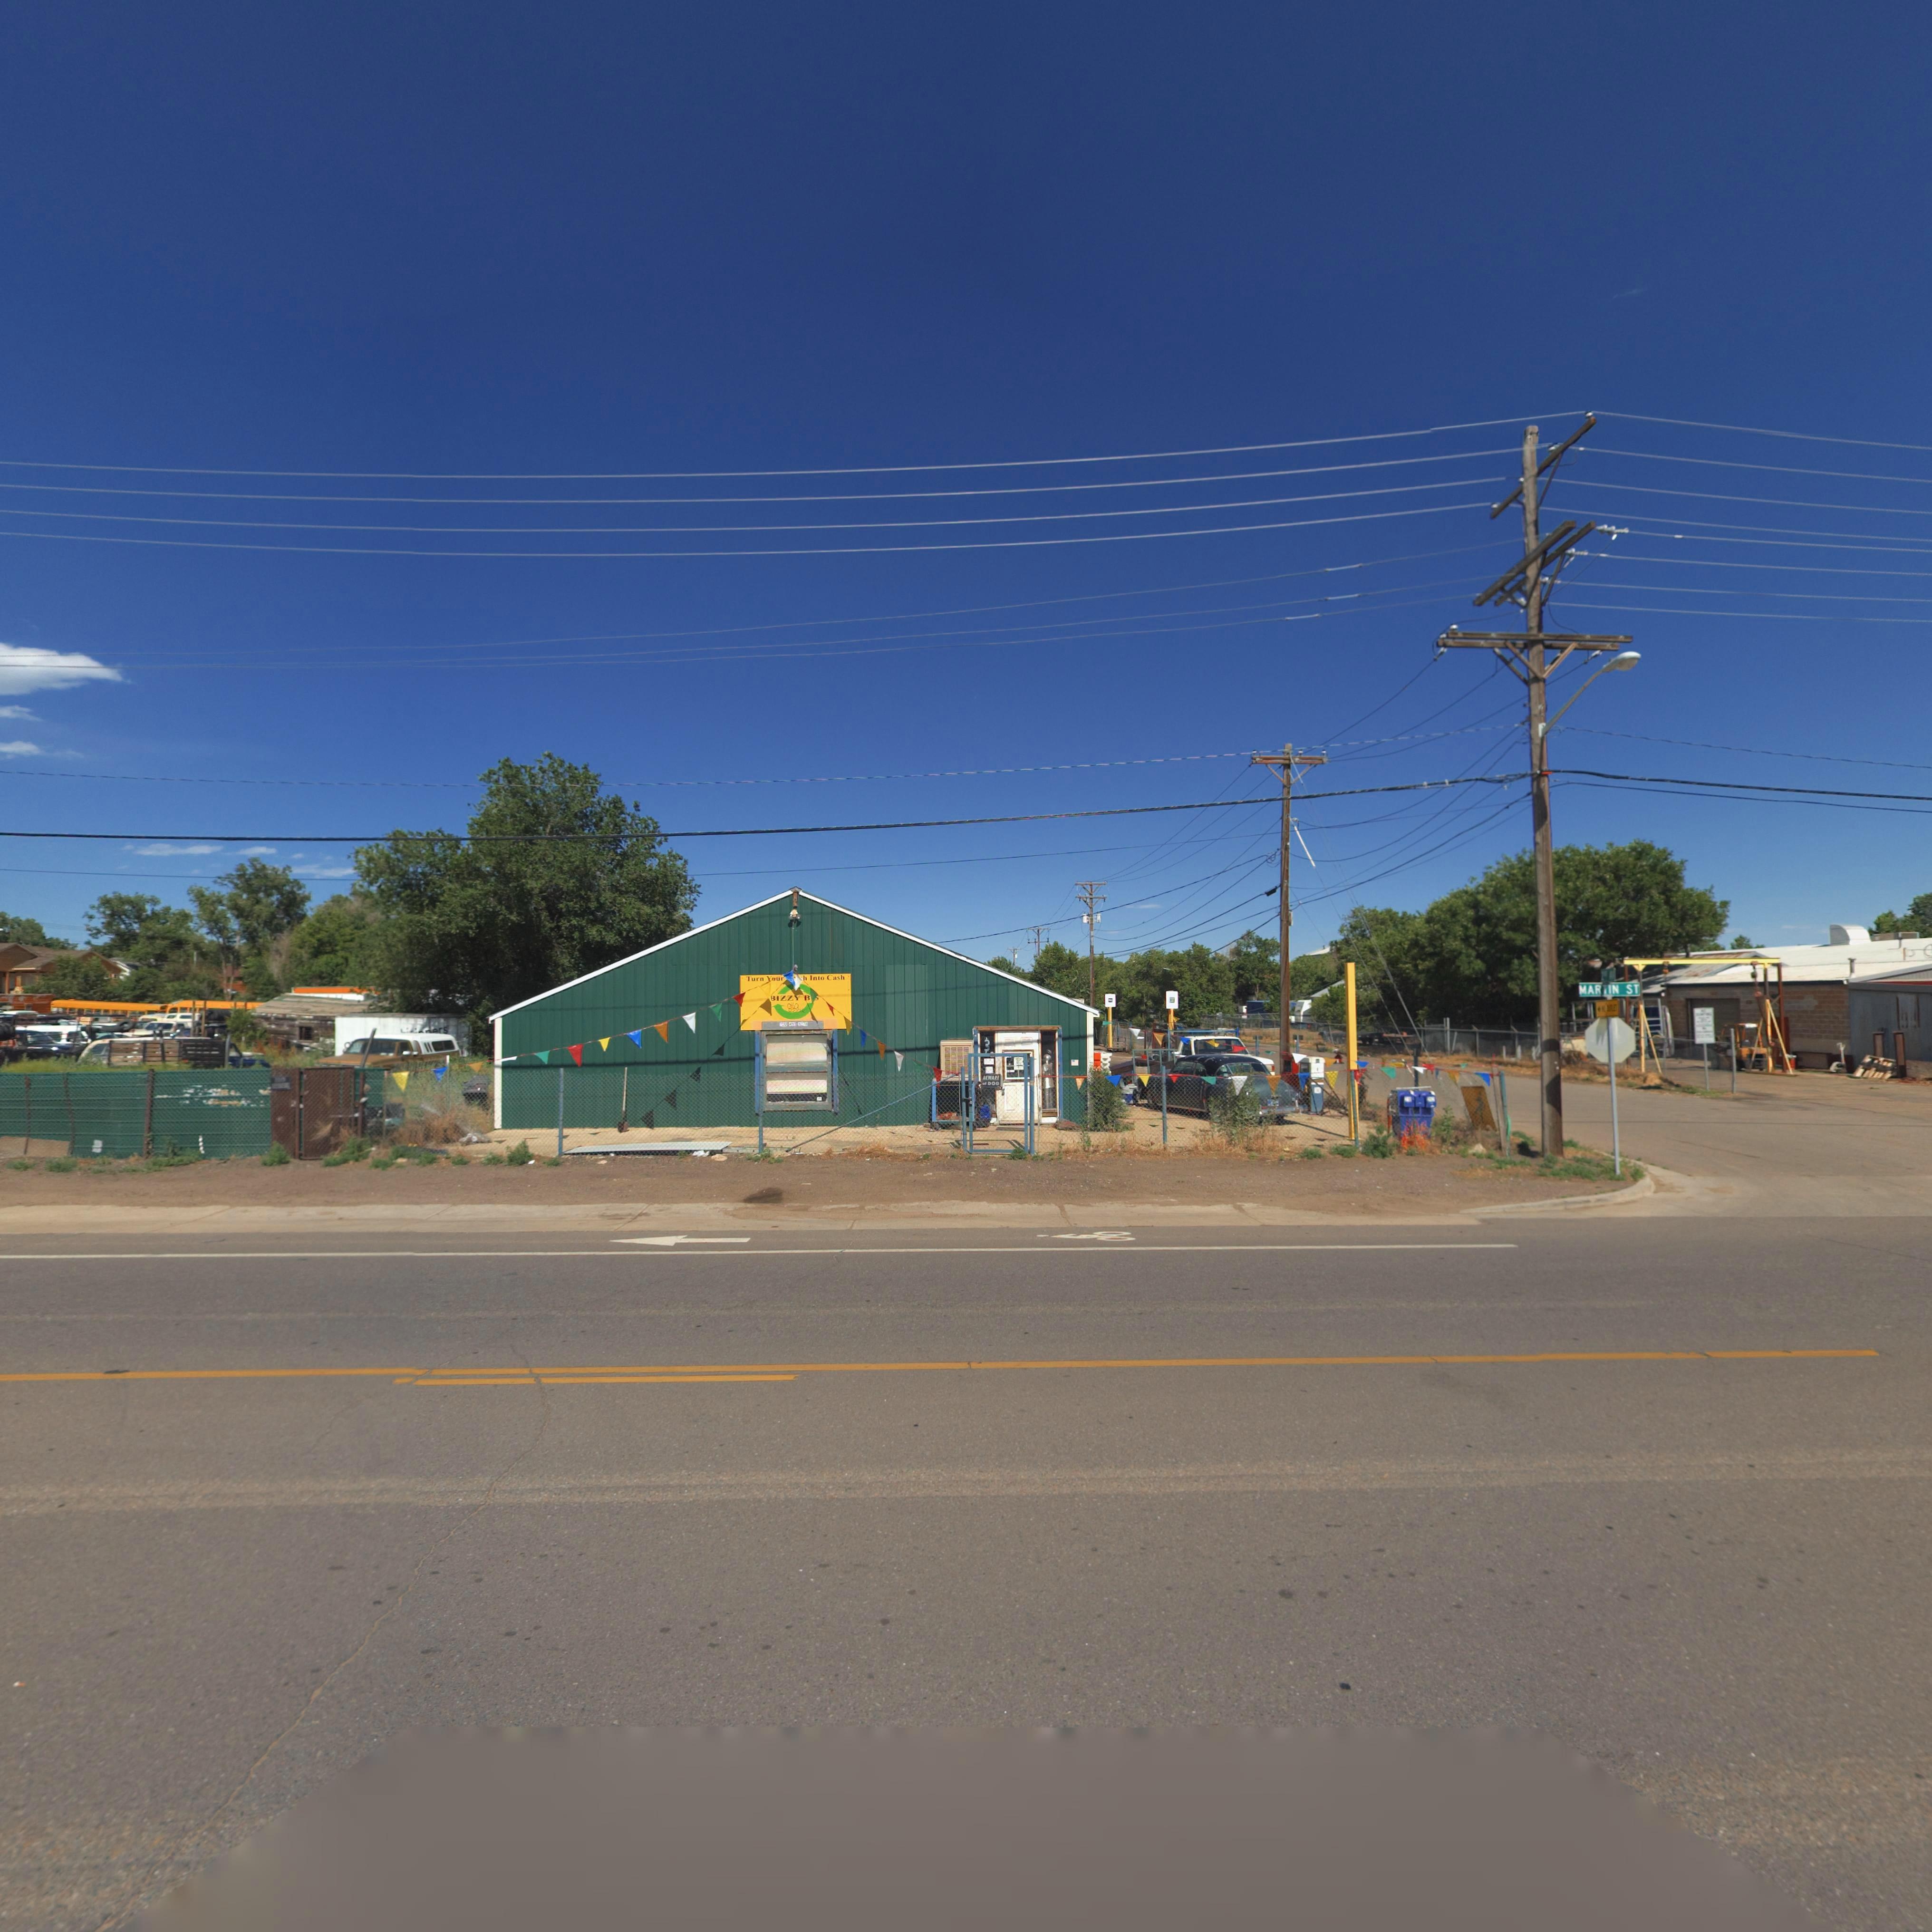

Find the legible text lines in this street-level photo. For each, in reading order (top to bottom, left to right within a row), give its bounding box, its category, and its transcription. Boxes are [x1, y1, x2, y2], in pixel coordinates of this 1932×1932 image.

[1601, 970, 1614, 980] StreetName: 2ND AV
[1577, 983, 1640, 995] StreetName: MARTIN ST
[770, 994, 819, 1001] BusinessName: BIZZY B*